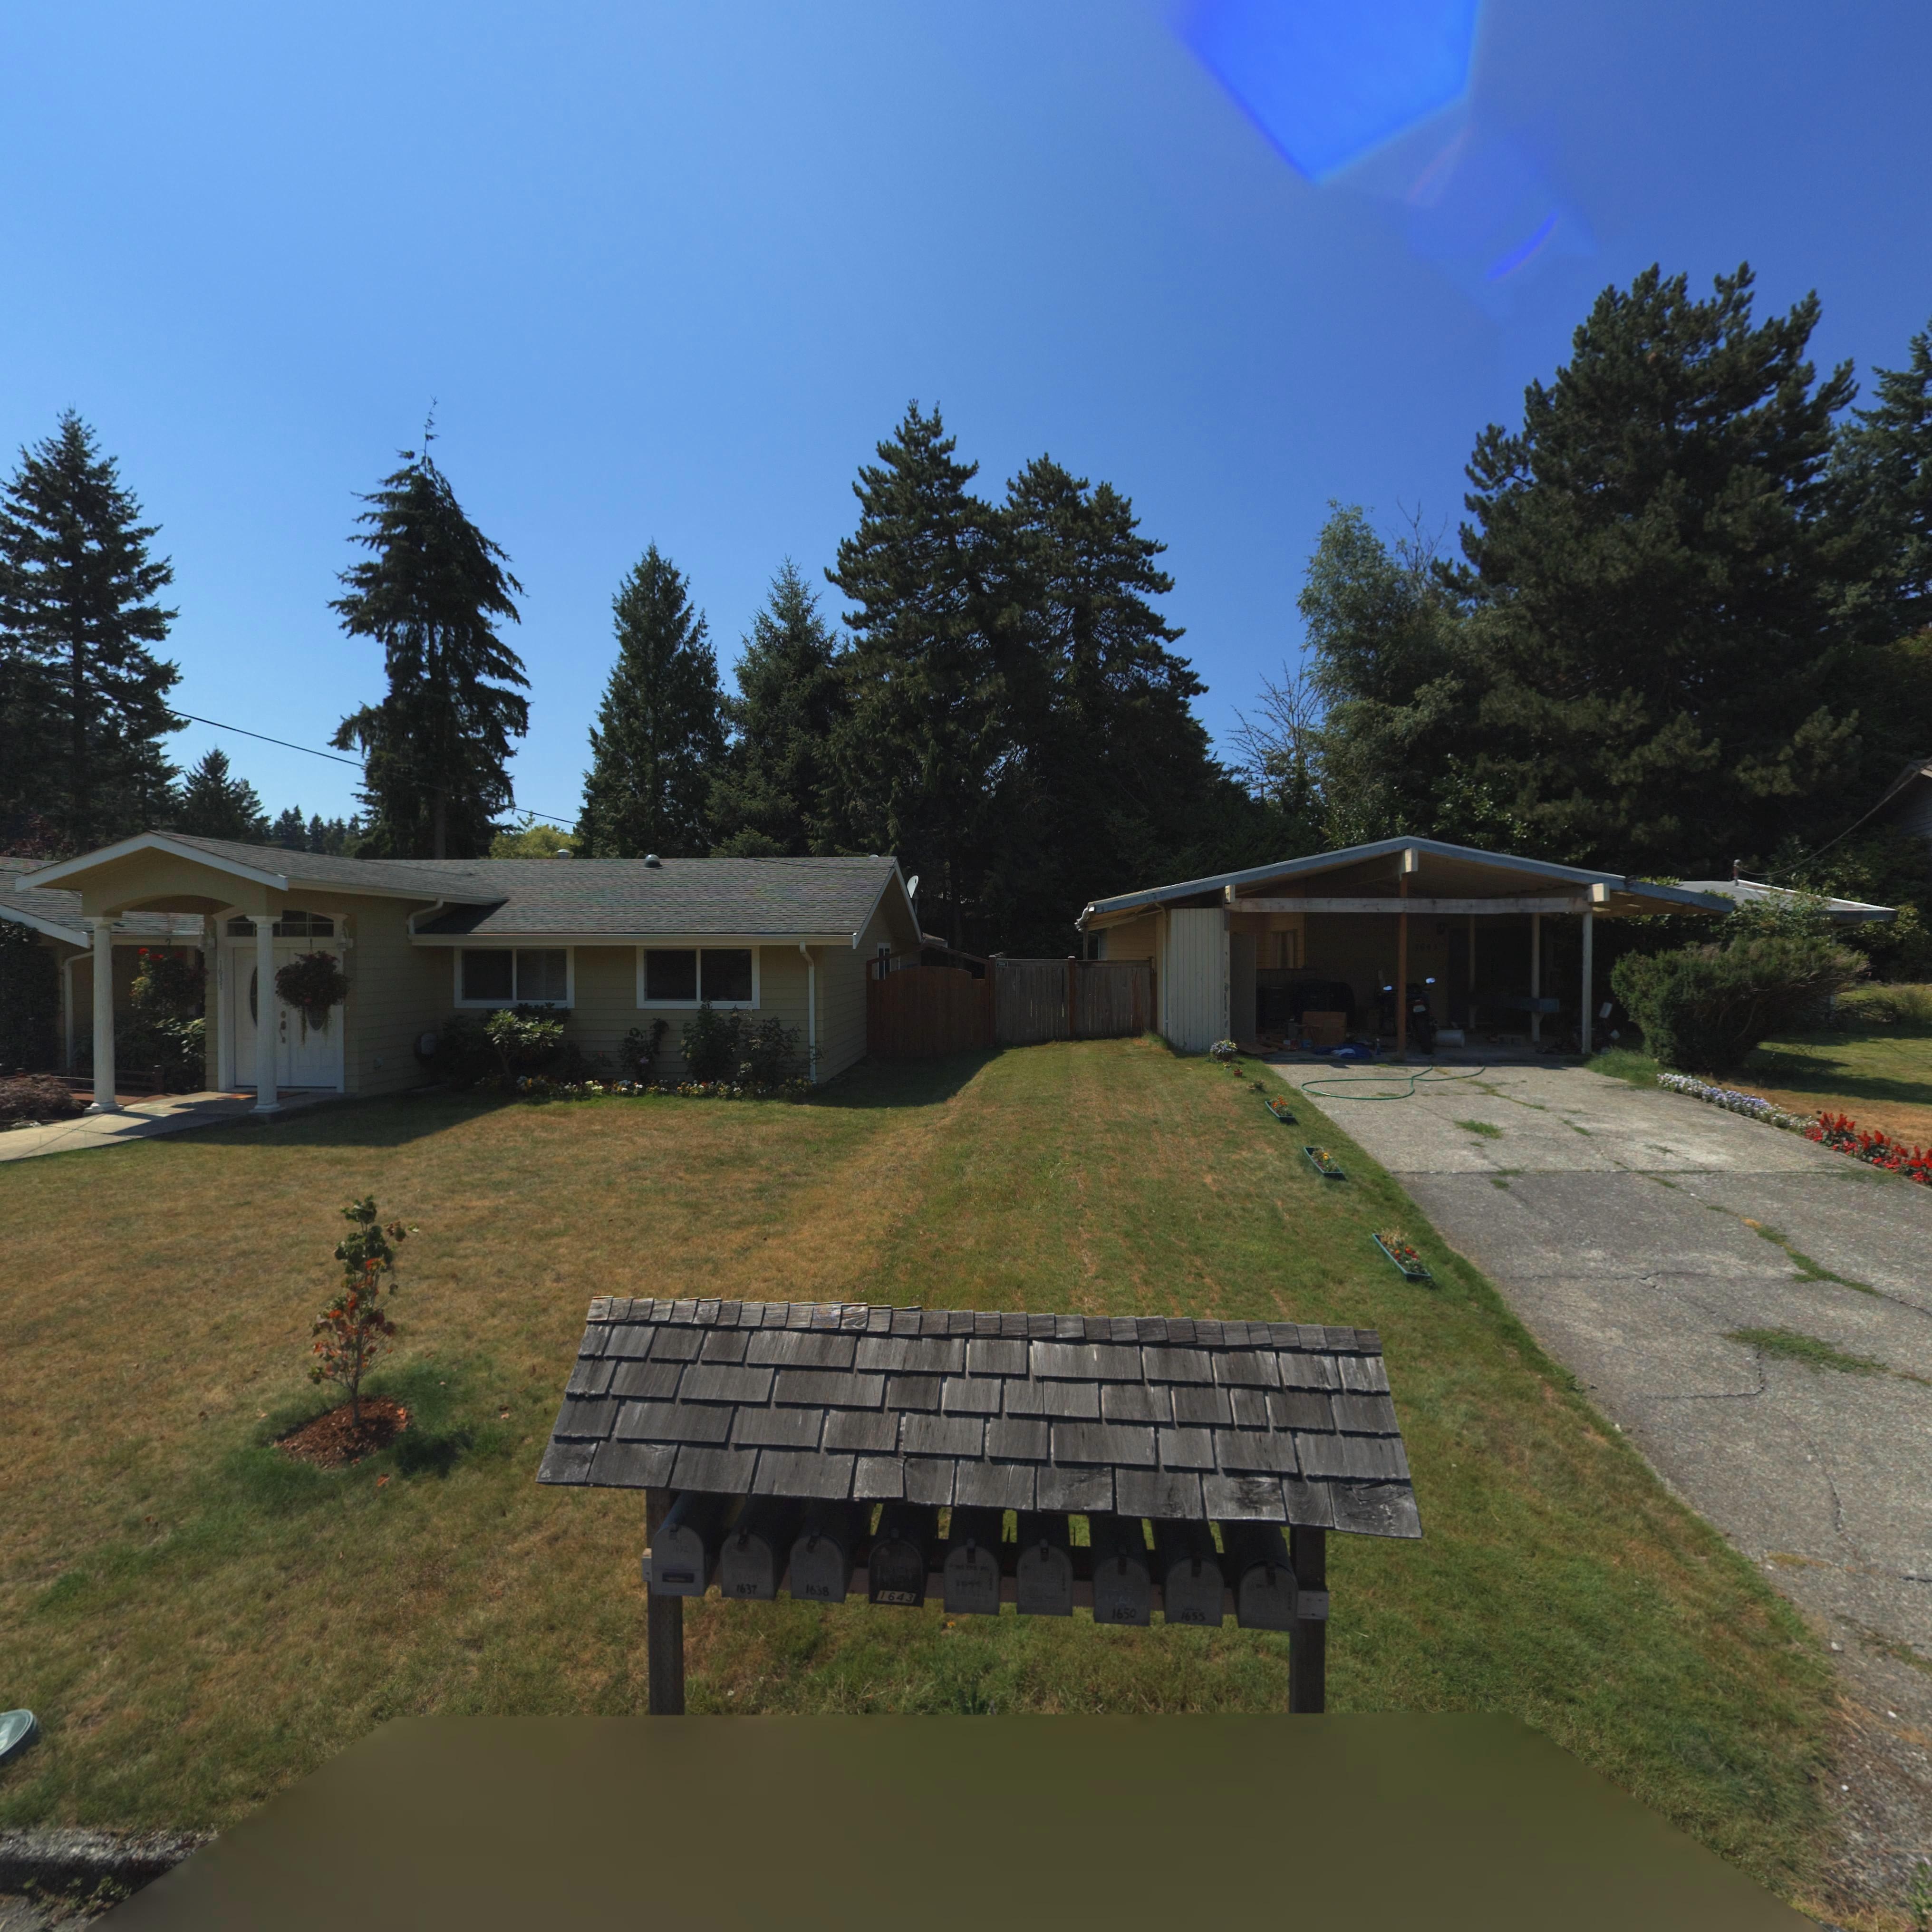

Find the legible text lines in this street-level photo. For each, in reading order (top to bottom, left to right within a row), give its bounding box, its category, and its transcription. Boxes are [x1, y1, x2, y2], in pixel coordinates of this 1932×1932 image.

[734, 1582, 758, 1596] StreetNumber: 1637
[805, 1582, 829, 1596] None: 16
[879, 1589, 914, 1603] StreetNumber: 1643
[1111, 1607, 1139, 1618] StreetNumber: 1650
[1179, 1610, 1207, 1622] StreetNumber: 1655